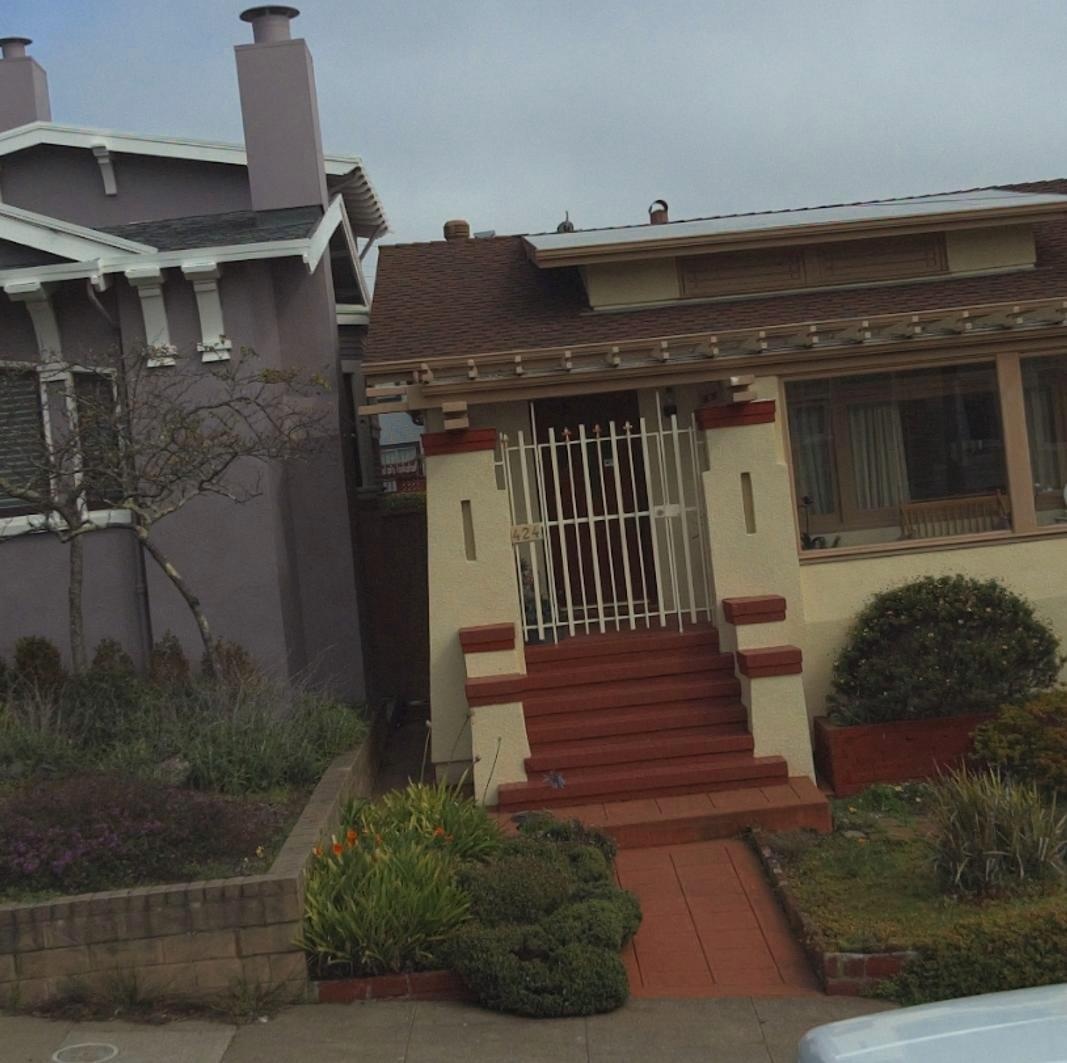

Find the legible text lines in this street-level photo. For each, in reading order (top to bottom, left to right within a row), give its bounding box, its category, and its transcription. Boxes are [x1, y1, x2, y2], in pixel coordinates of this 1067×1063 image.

[512, 525, 541, 543] StreetNumber: 424